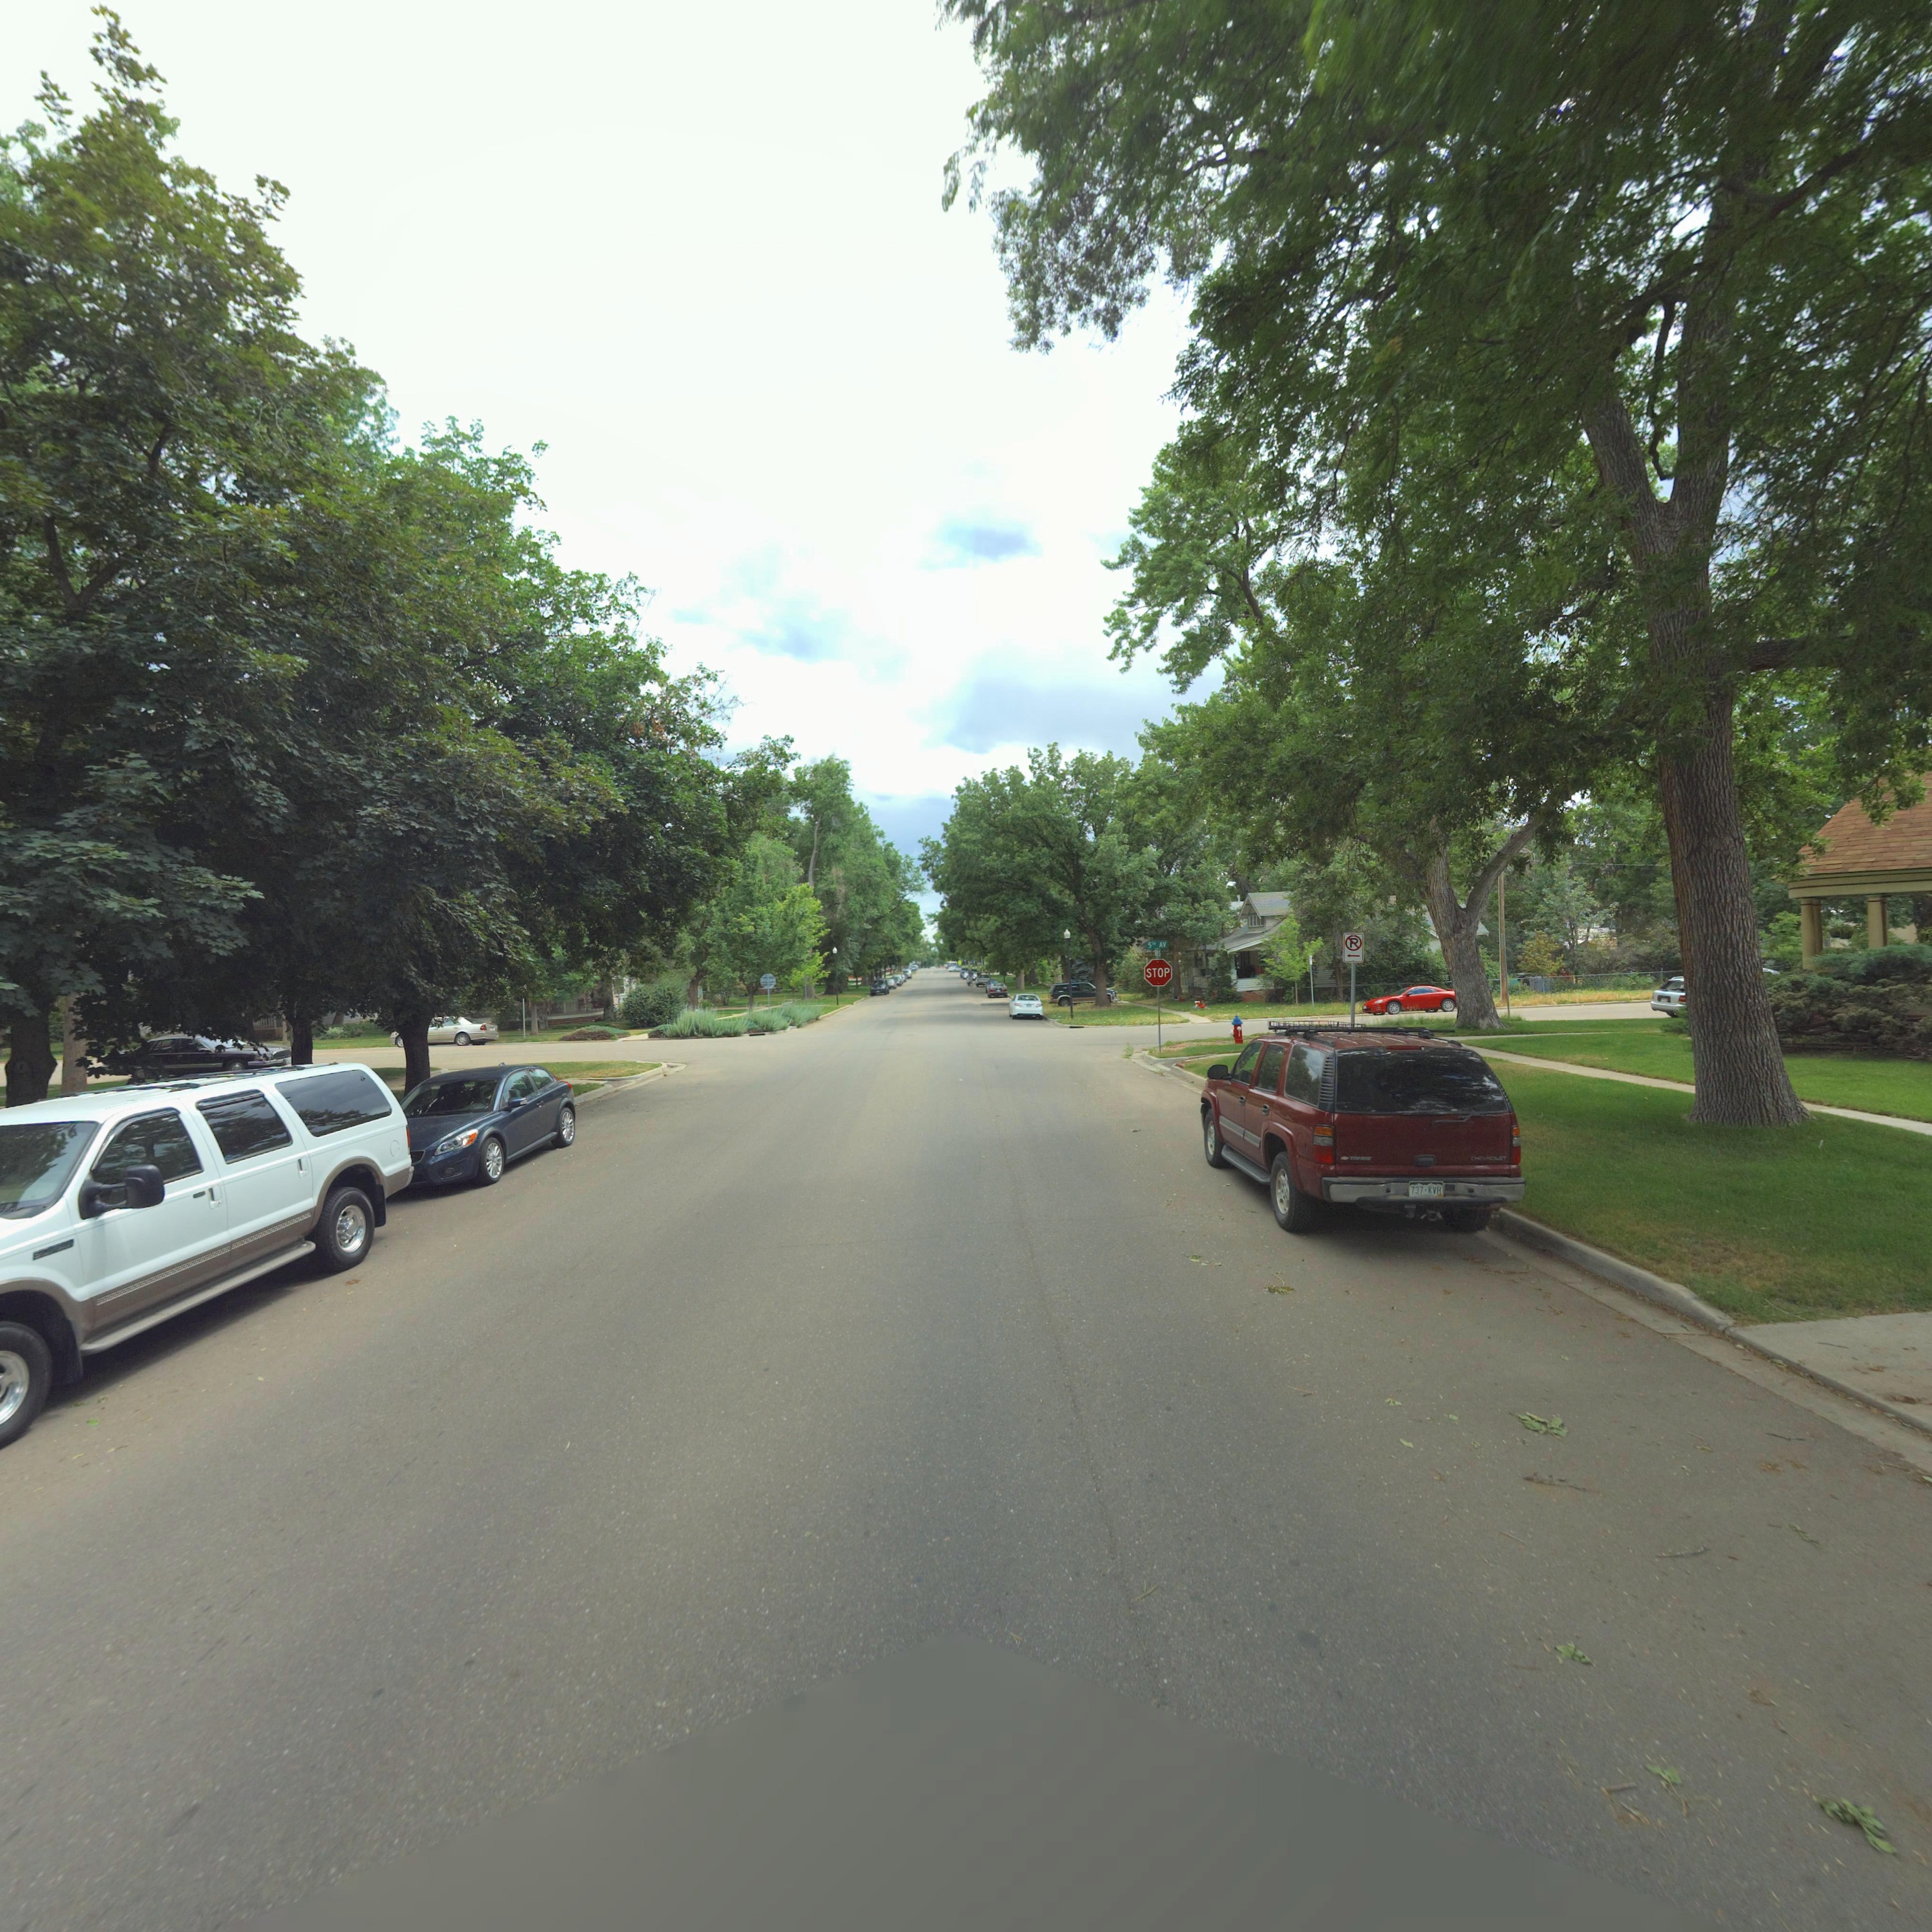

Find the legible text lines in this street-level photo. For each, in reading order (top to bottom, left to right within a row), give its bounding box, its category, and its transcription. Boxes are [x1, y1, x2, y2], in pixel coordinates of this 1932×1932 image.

[1148, 941, 1167, 948] StreetName: 5TH AV